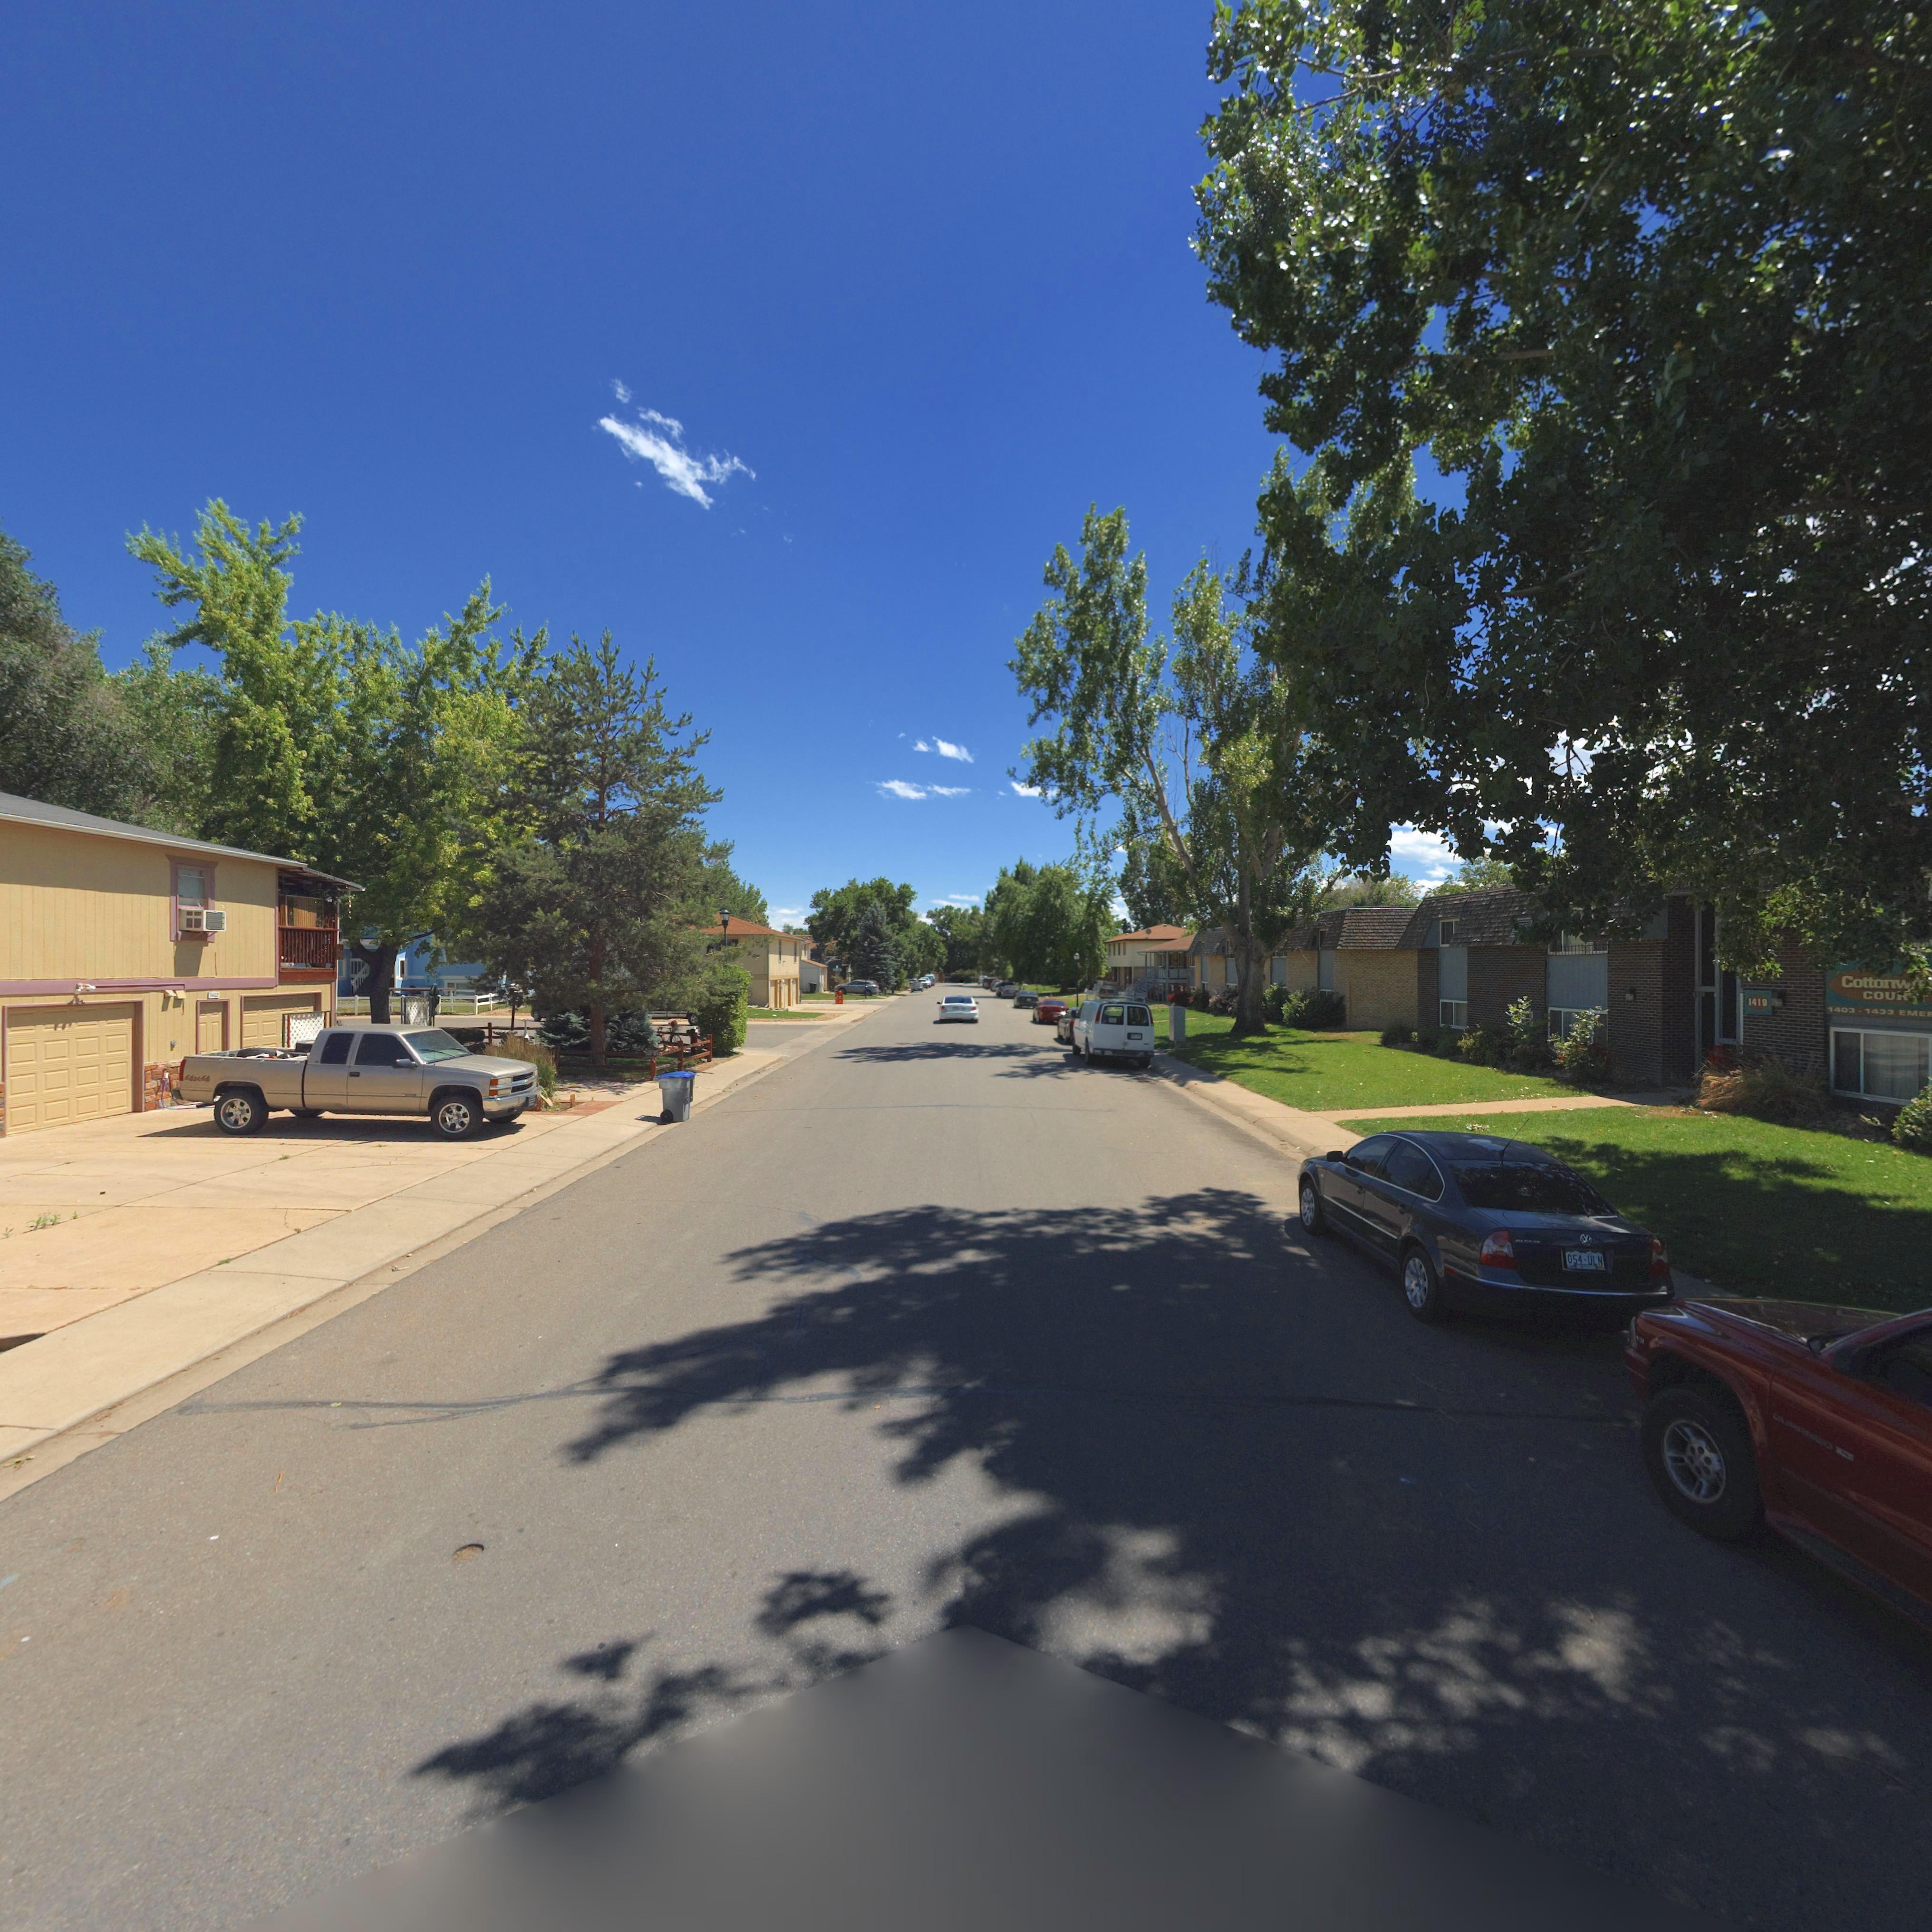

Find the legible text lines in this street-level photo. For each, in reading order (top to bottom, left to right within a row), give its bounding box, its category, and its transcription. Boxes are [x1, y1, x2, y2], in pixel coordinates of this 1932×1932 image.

[1841, 975, 1912, 989] BusinessName: Cottonw
[209, 992, 219, 997] StreetNumber: 1*22
[1862, 990, 1910, 1001] BusinessName: COU*
[1748, 997, 1768, 1006] StreetNumber: 1419
[1827, 1006, 1855, 1013] StreetNumber: 1403
[1864, 1007, 1894, 1015] StreetNumber: 1433
[1898, 1009, 1926, 1017] StreetName: EME